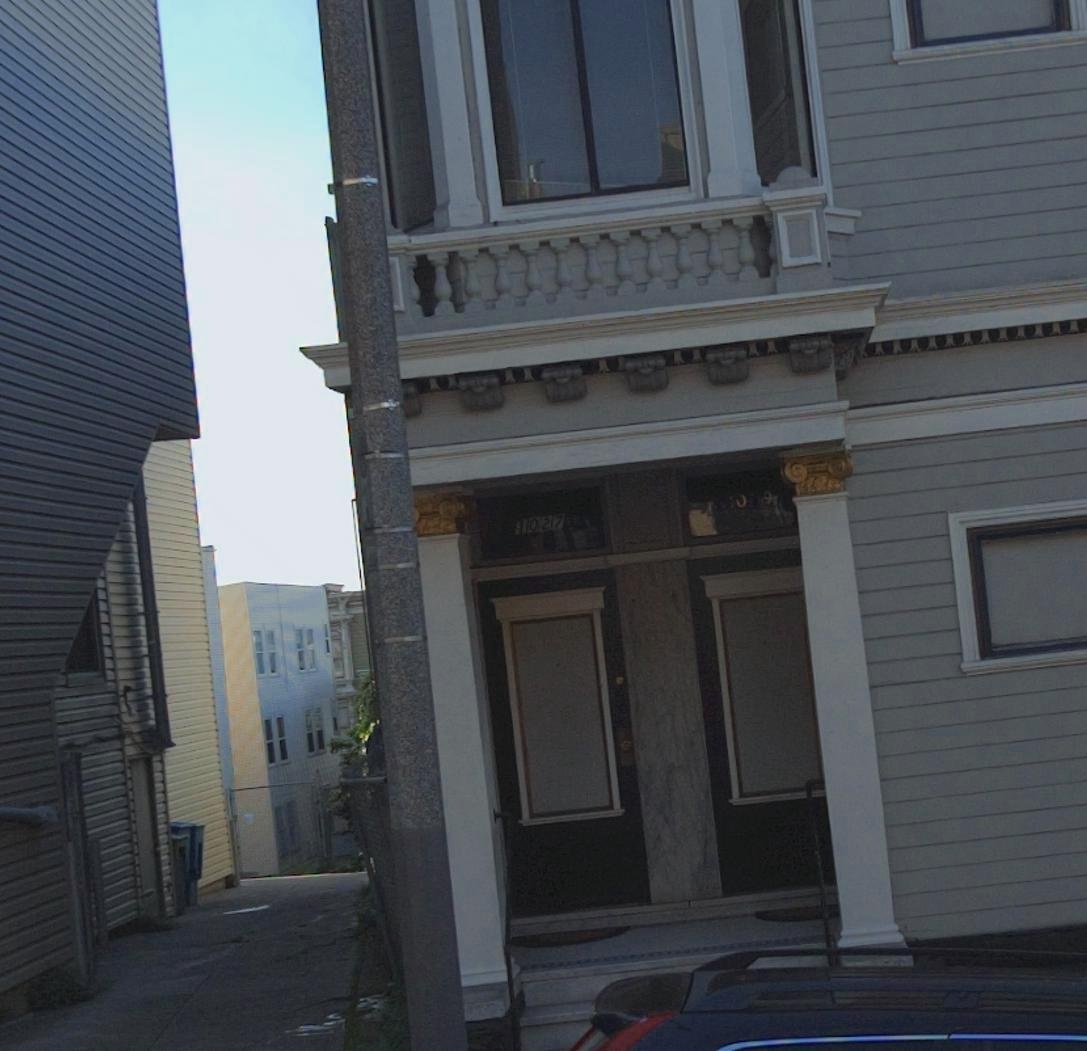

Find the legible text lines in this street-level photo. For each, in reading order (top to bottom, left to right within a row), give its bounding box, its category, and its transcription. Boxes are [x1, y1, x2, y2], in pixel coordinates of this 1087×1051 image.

[728, 489, 772, 510] StreetNumber: 10*9
[513, 513, 563, 537] StreetNumber: 1027